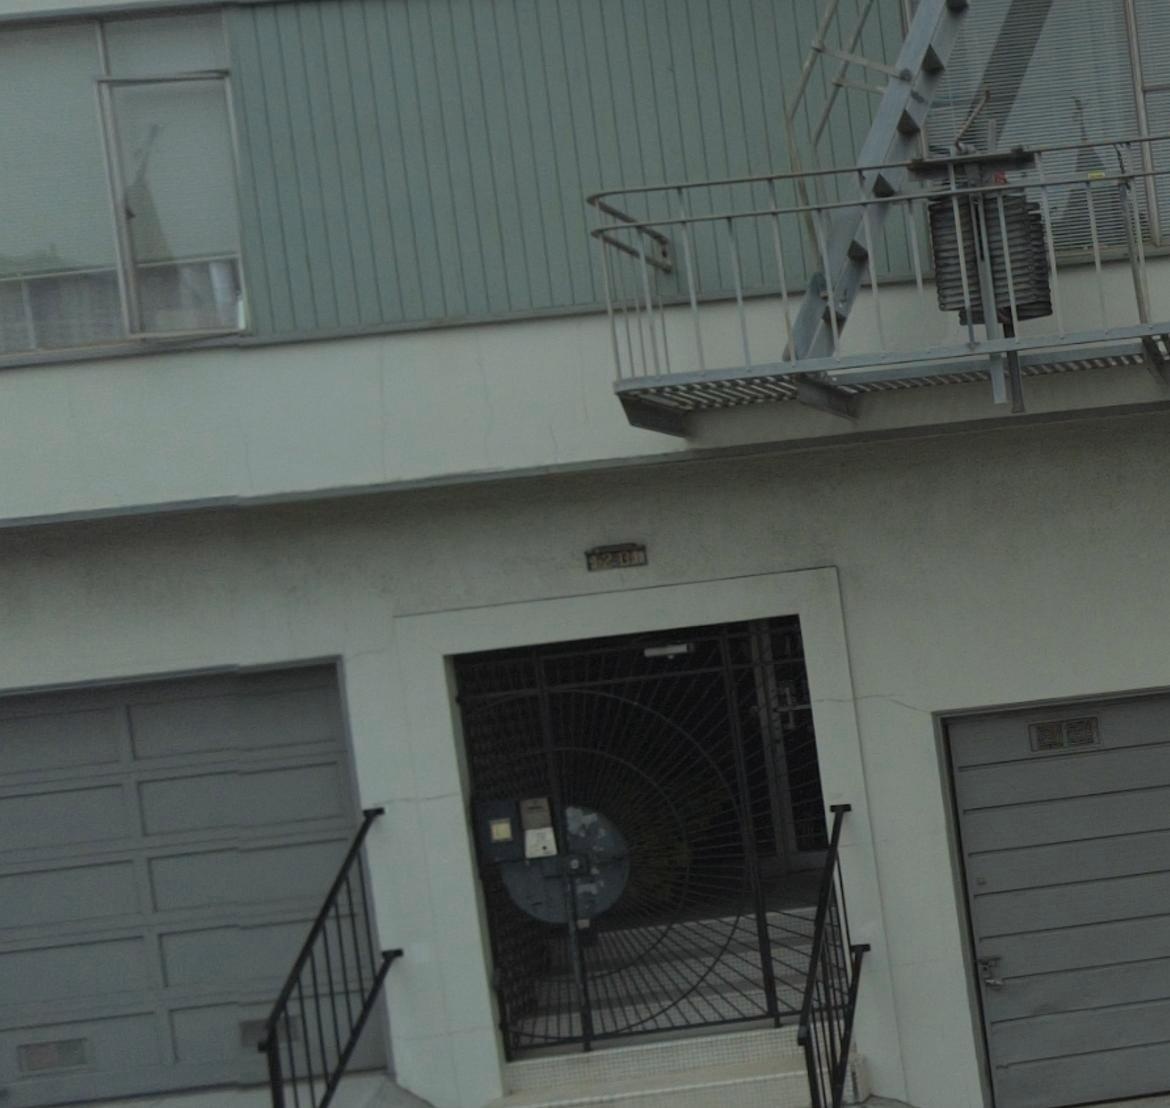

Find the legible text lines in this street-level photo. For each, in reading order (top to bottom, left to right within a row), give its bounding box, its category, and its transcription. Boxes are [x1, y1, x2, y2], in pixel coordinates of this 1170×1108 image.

[588, 548, 644, 570] StreetNumber: 1201